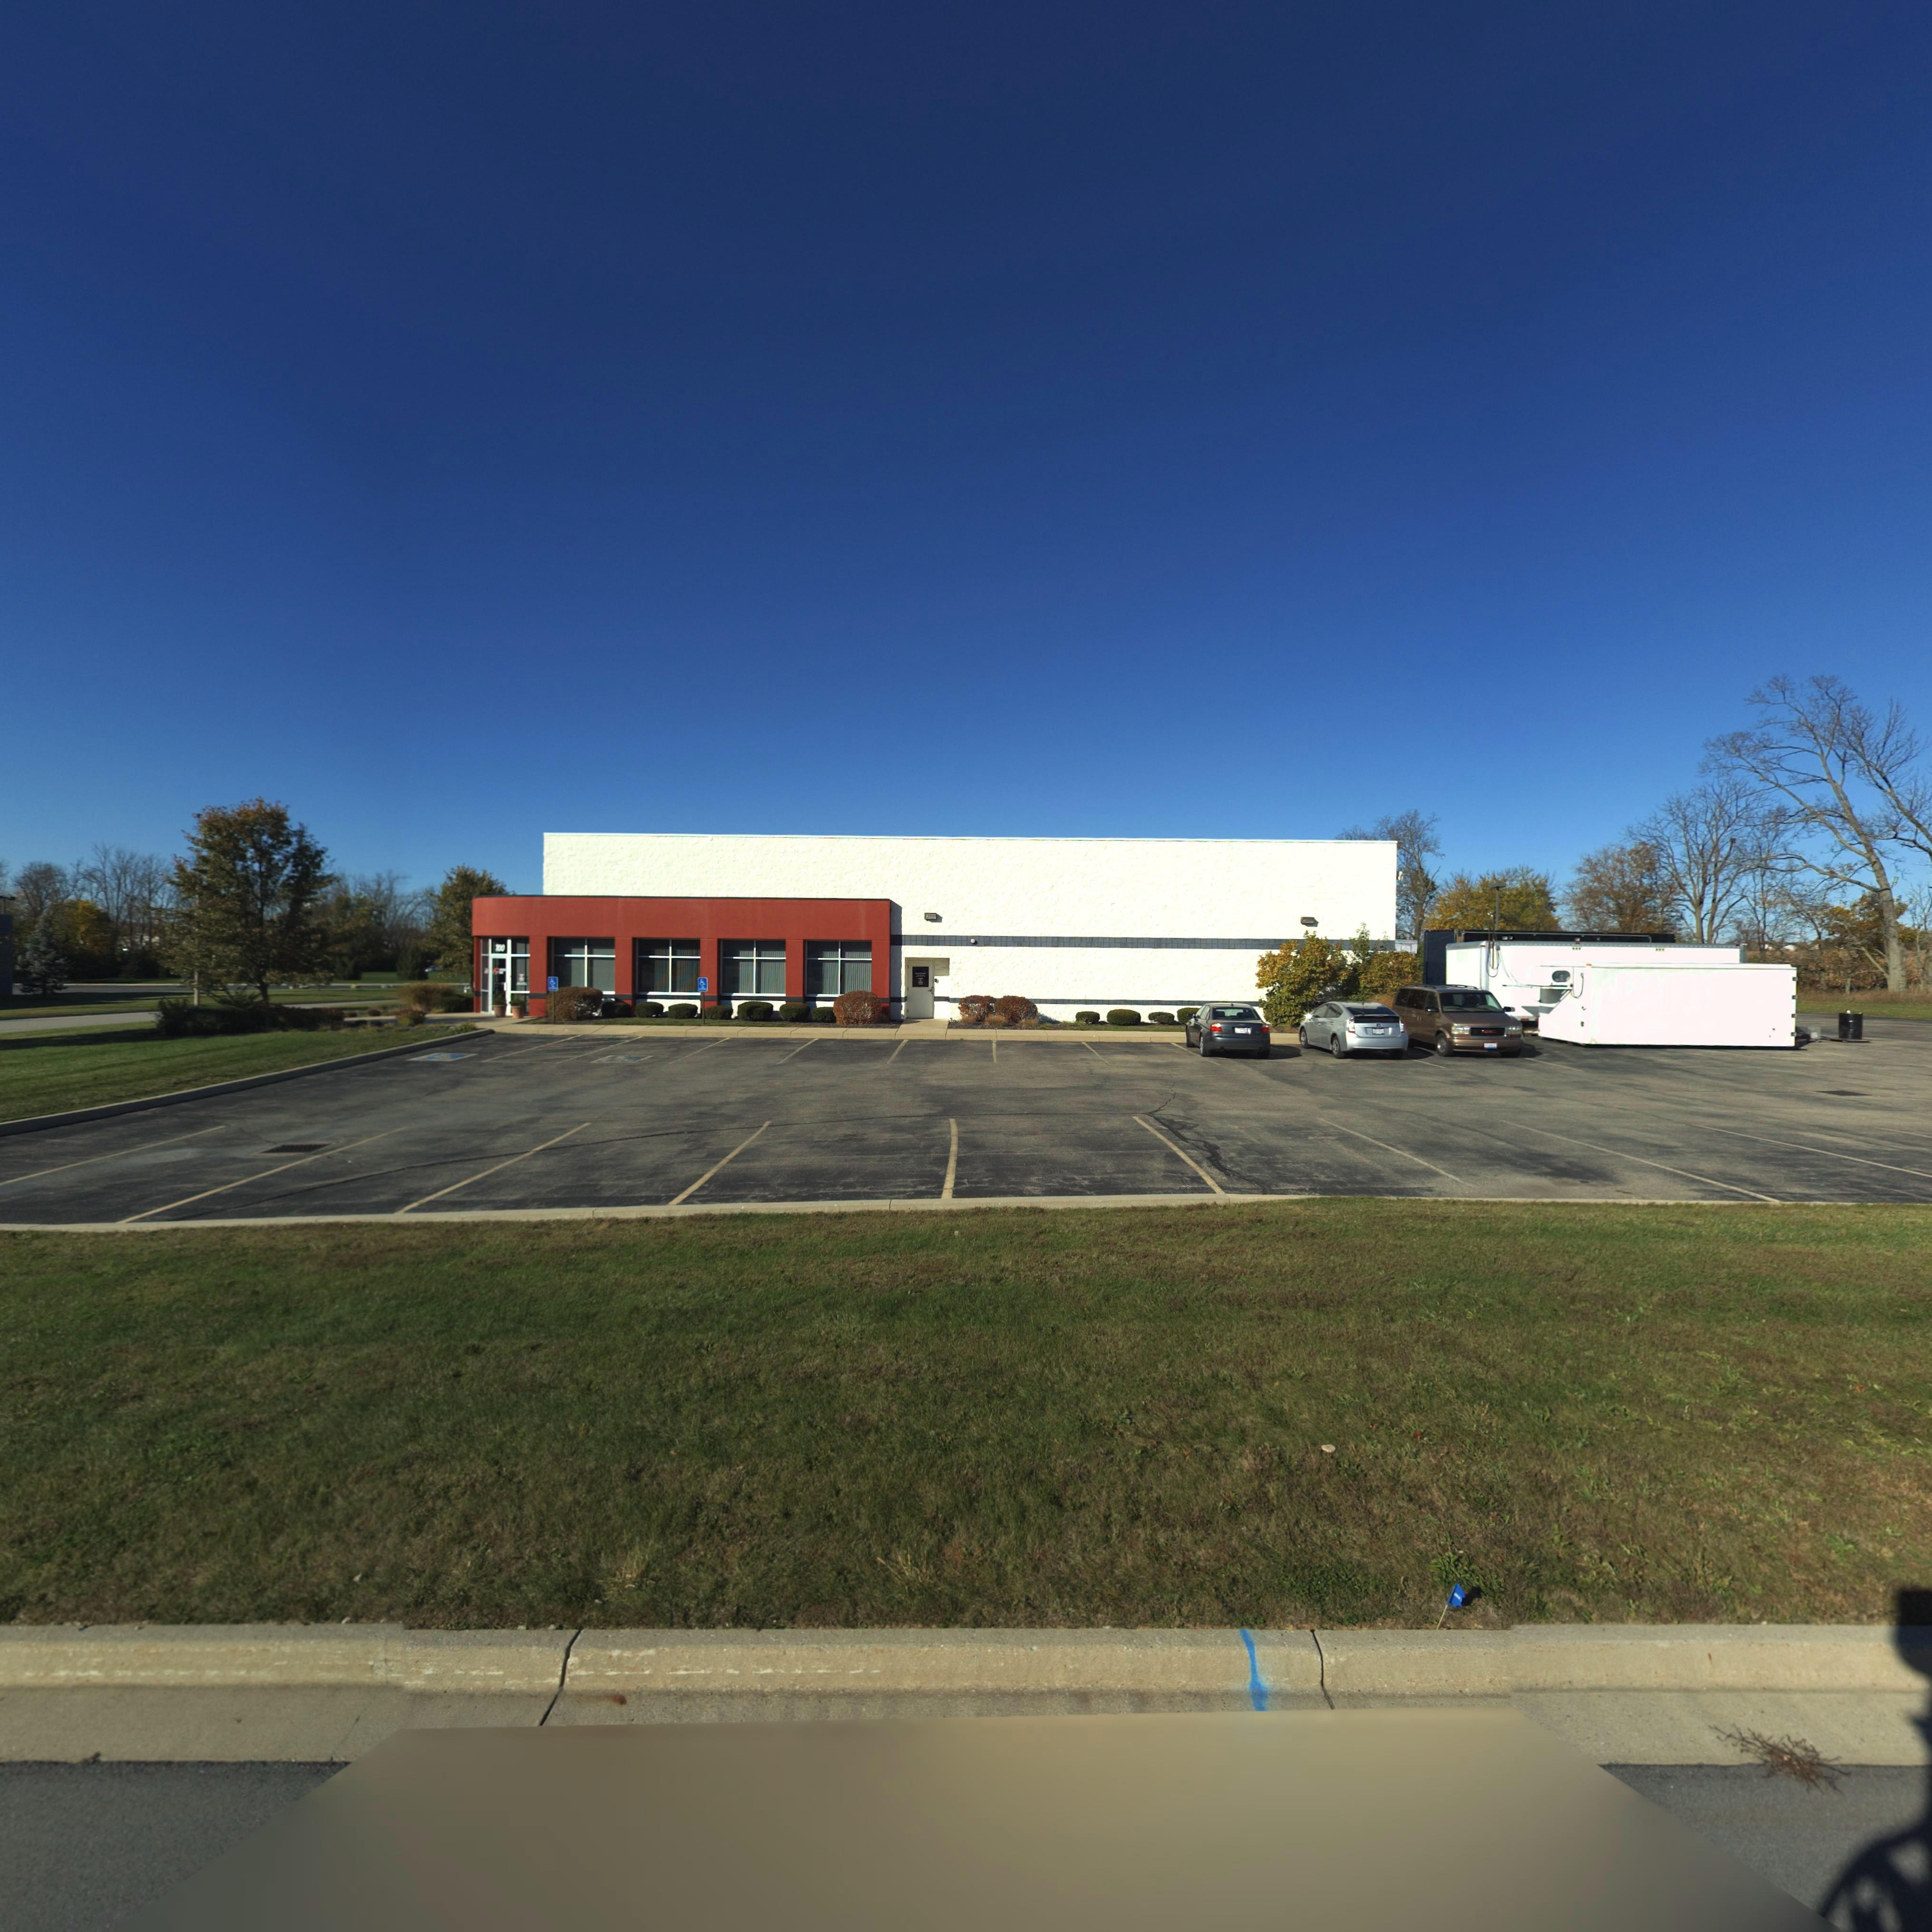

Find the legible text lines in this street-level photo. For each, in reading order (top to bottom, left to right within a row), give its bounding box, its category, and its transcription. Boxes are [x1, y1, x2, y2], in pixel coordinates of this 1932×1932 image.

[495, 943, 506, 952] StreetNumber: 700